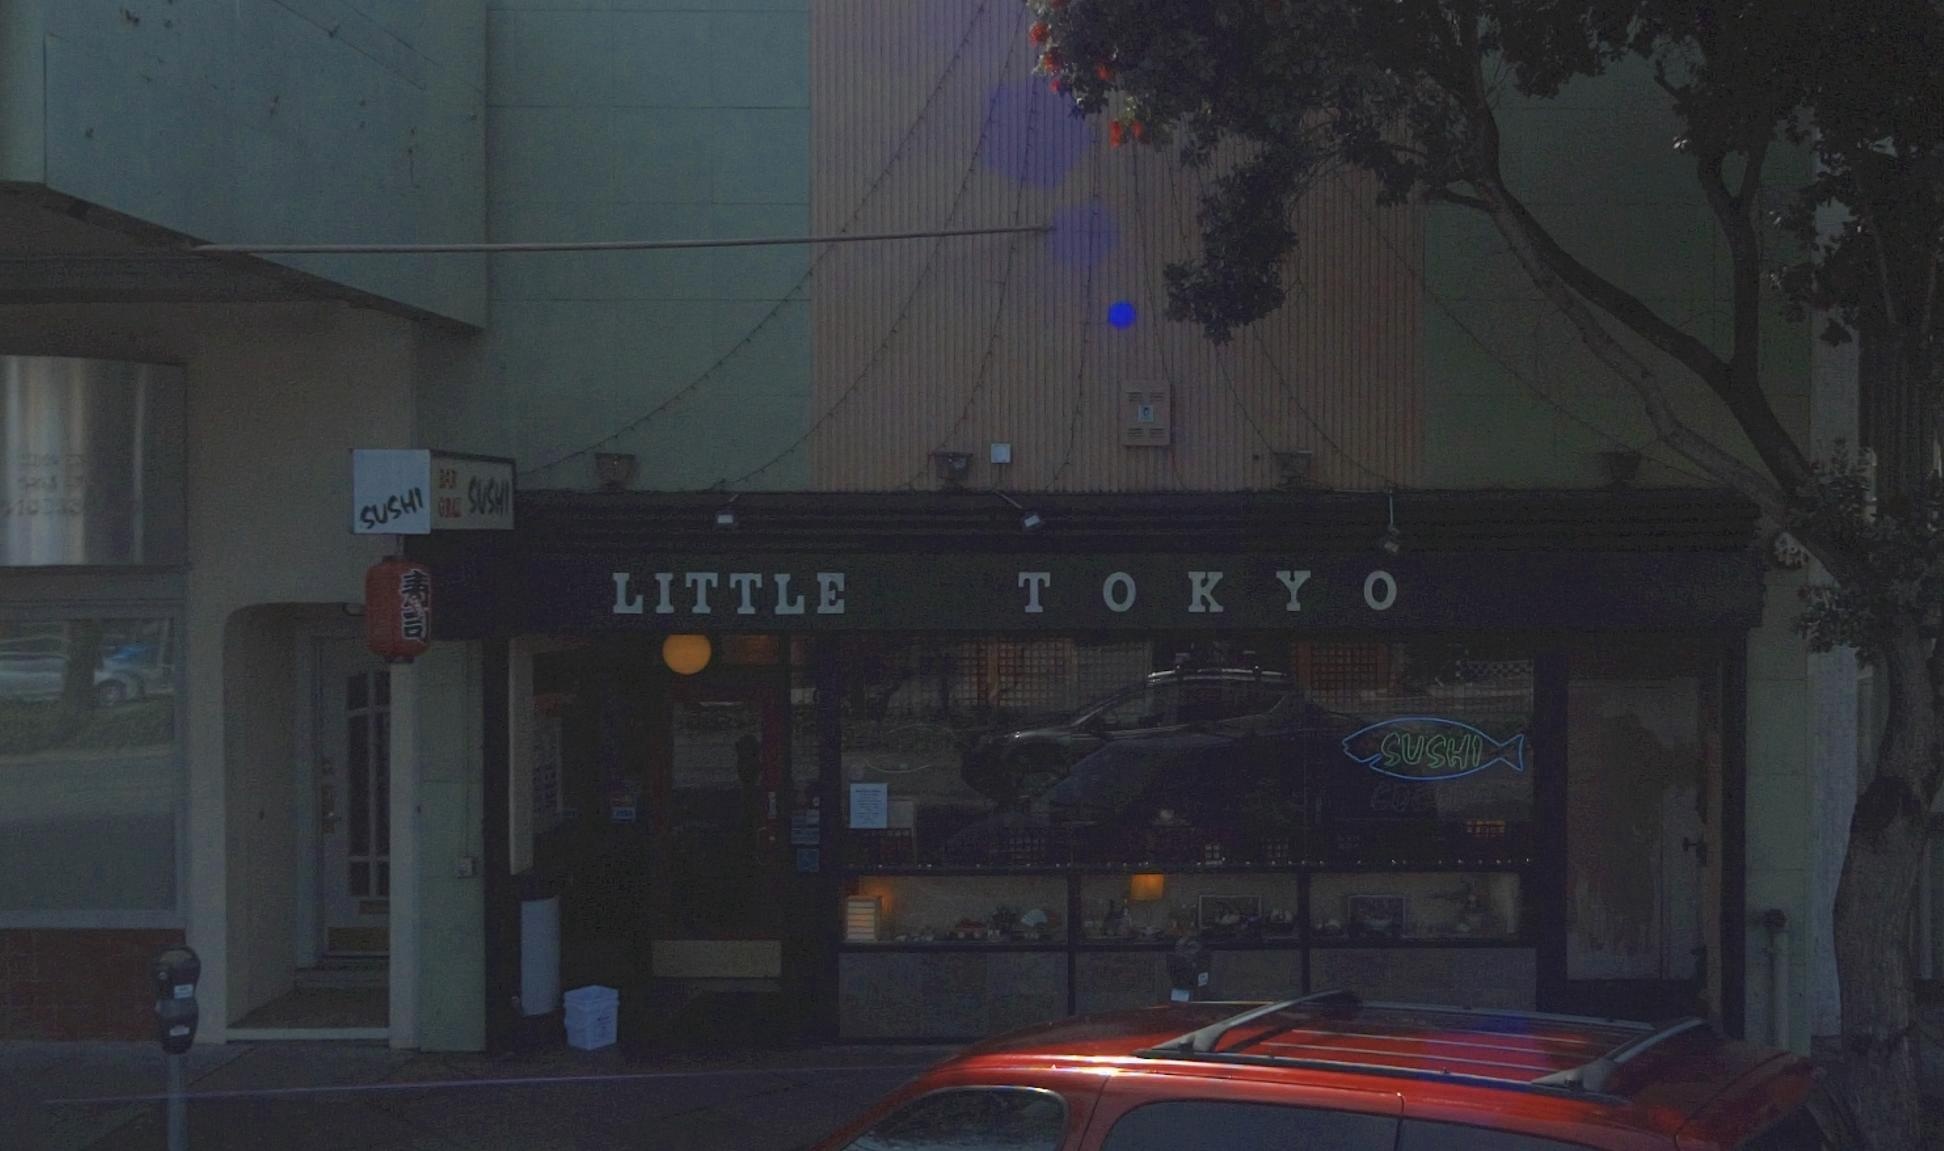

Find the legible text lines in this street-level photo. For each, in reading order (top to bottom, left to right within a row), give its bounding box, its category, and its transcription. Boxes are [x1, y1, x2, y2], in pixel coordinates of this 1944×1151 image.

[355, 483, 428, 534] None: SUSHI
[437, 466, 461, 490] None: BAR
[435, 494, 464, 521] None: GRILL
[466, 473, 511, 516] None: SUS**
[610, 566, 1401, 618] BusinessName: LITTLE TOKYO
[1380, 731, 1484, 771] None: SUSHI